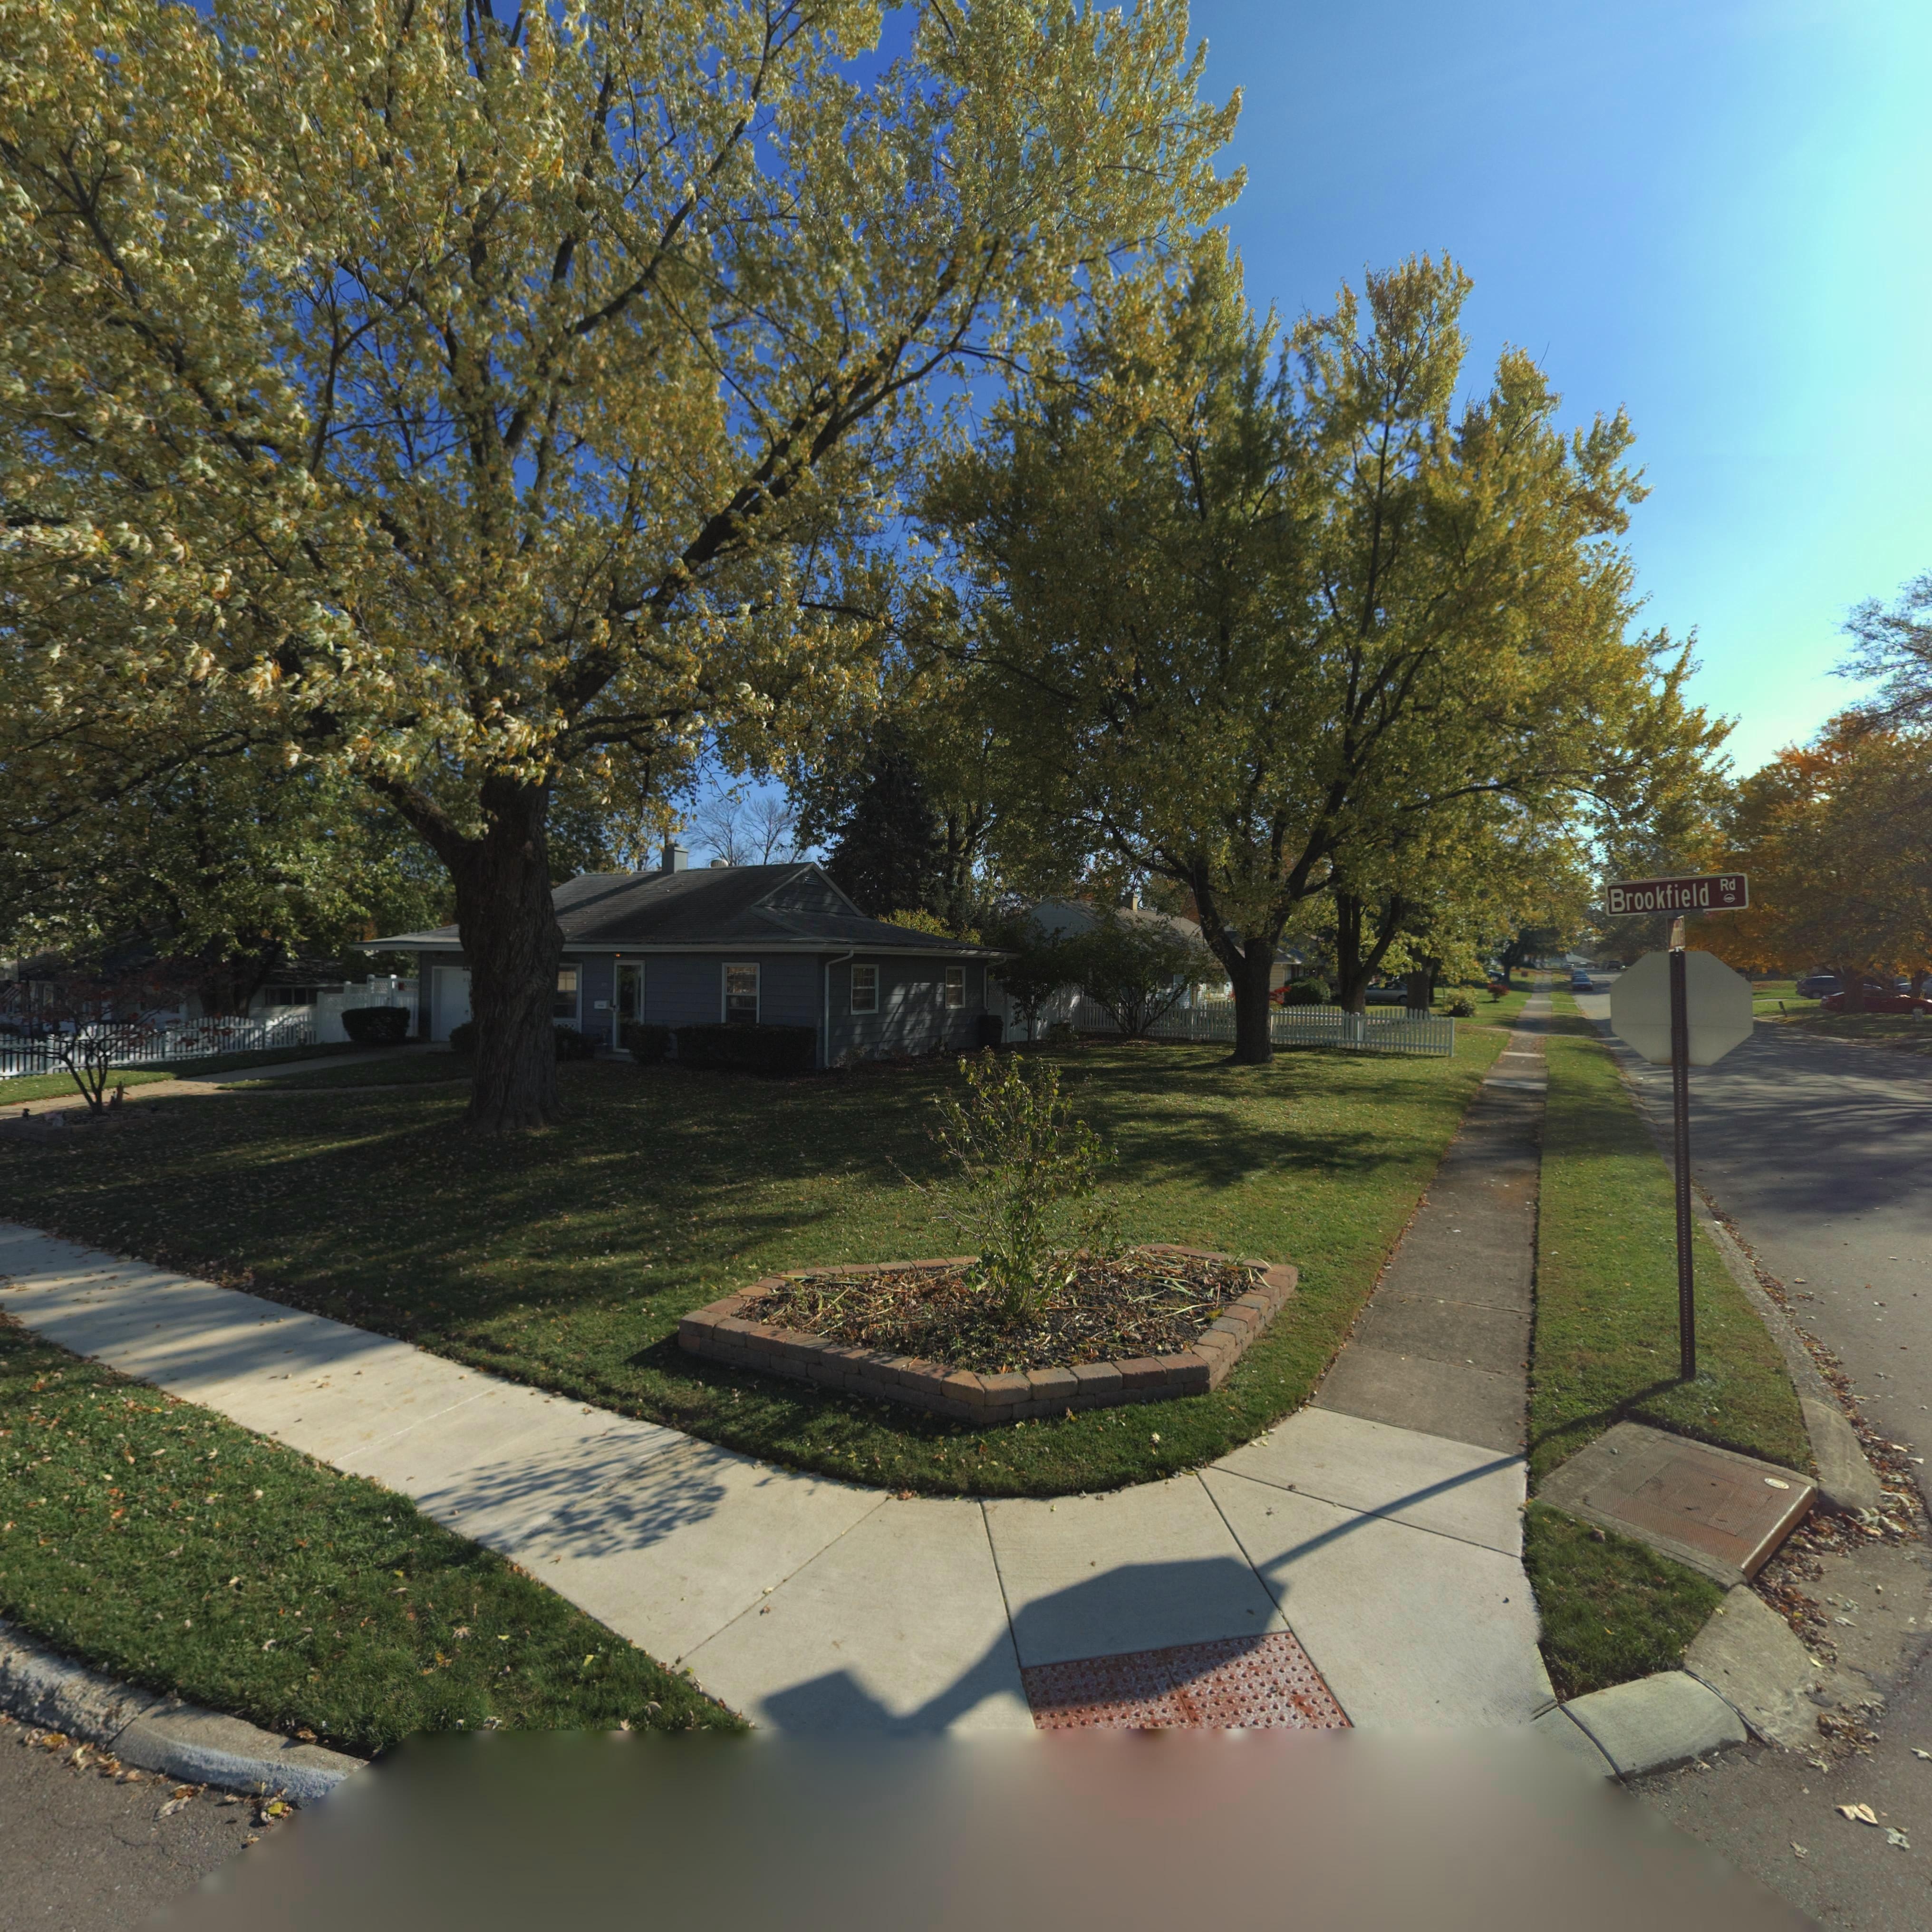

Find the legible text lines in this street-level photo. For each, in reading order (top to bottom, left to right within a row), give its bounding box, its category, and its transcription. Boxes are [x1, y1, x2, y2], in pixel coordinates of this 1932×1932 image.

[1610, 877, 1737, 913] StreetName: Brookfield Rd